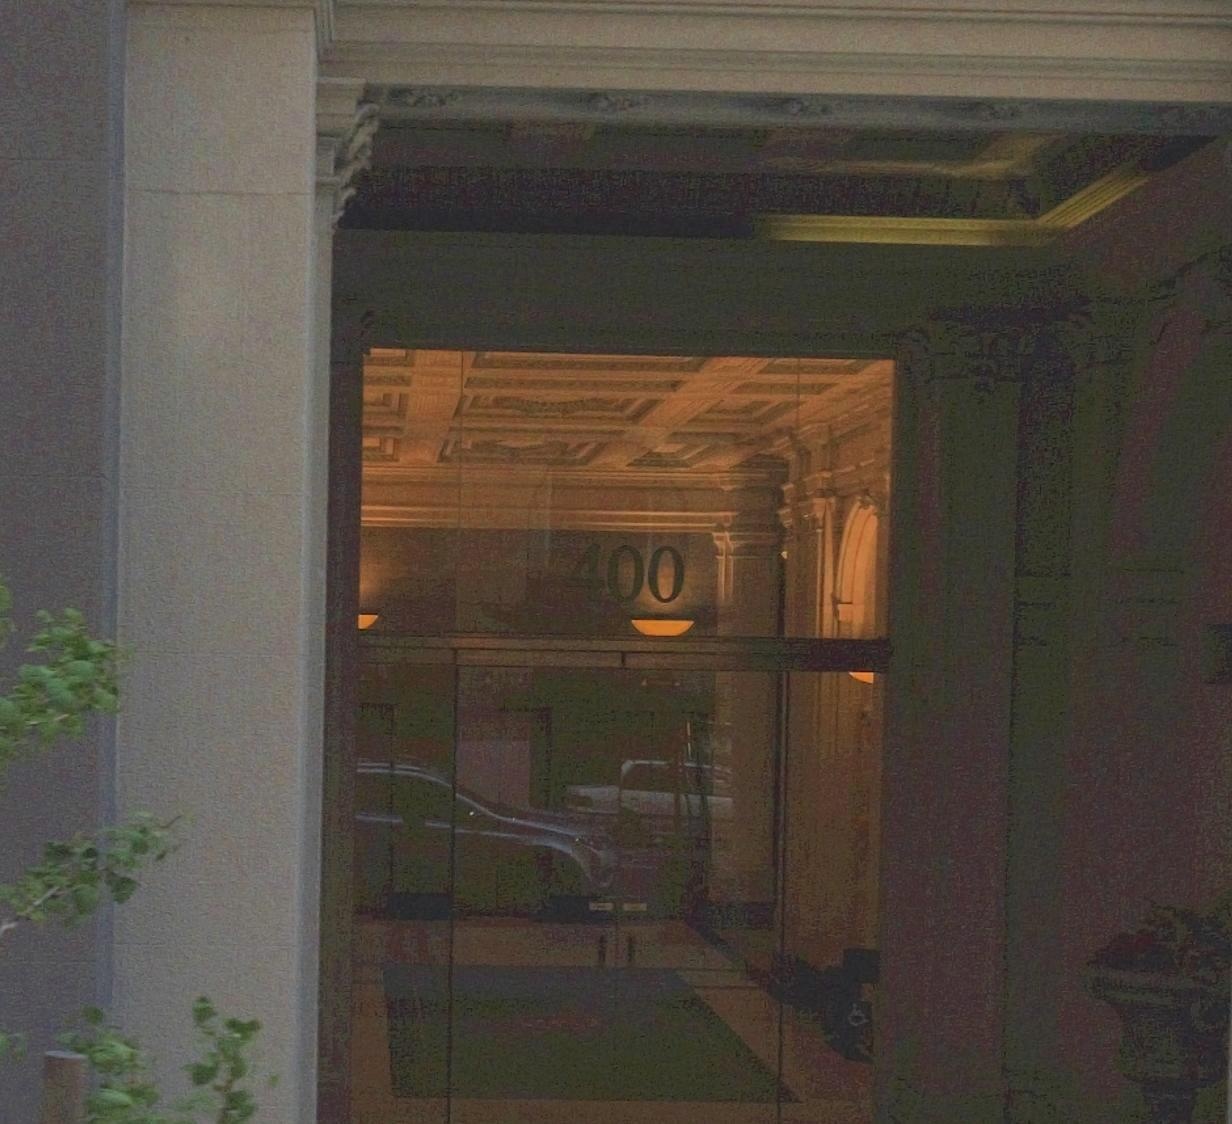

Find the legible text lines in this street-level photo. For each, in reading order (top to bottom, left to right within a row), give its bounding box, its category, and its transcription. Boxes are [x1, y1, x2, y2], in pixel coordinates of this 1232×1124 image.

[569, 543, 685, 604] StreetNumber: 400